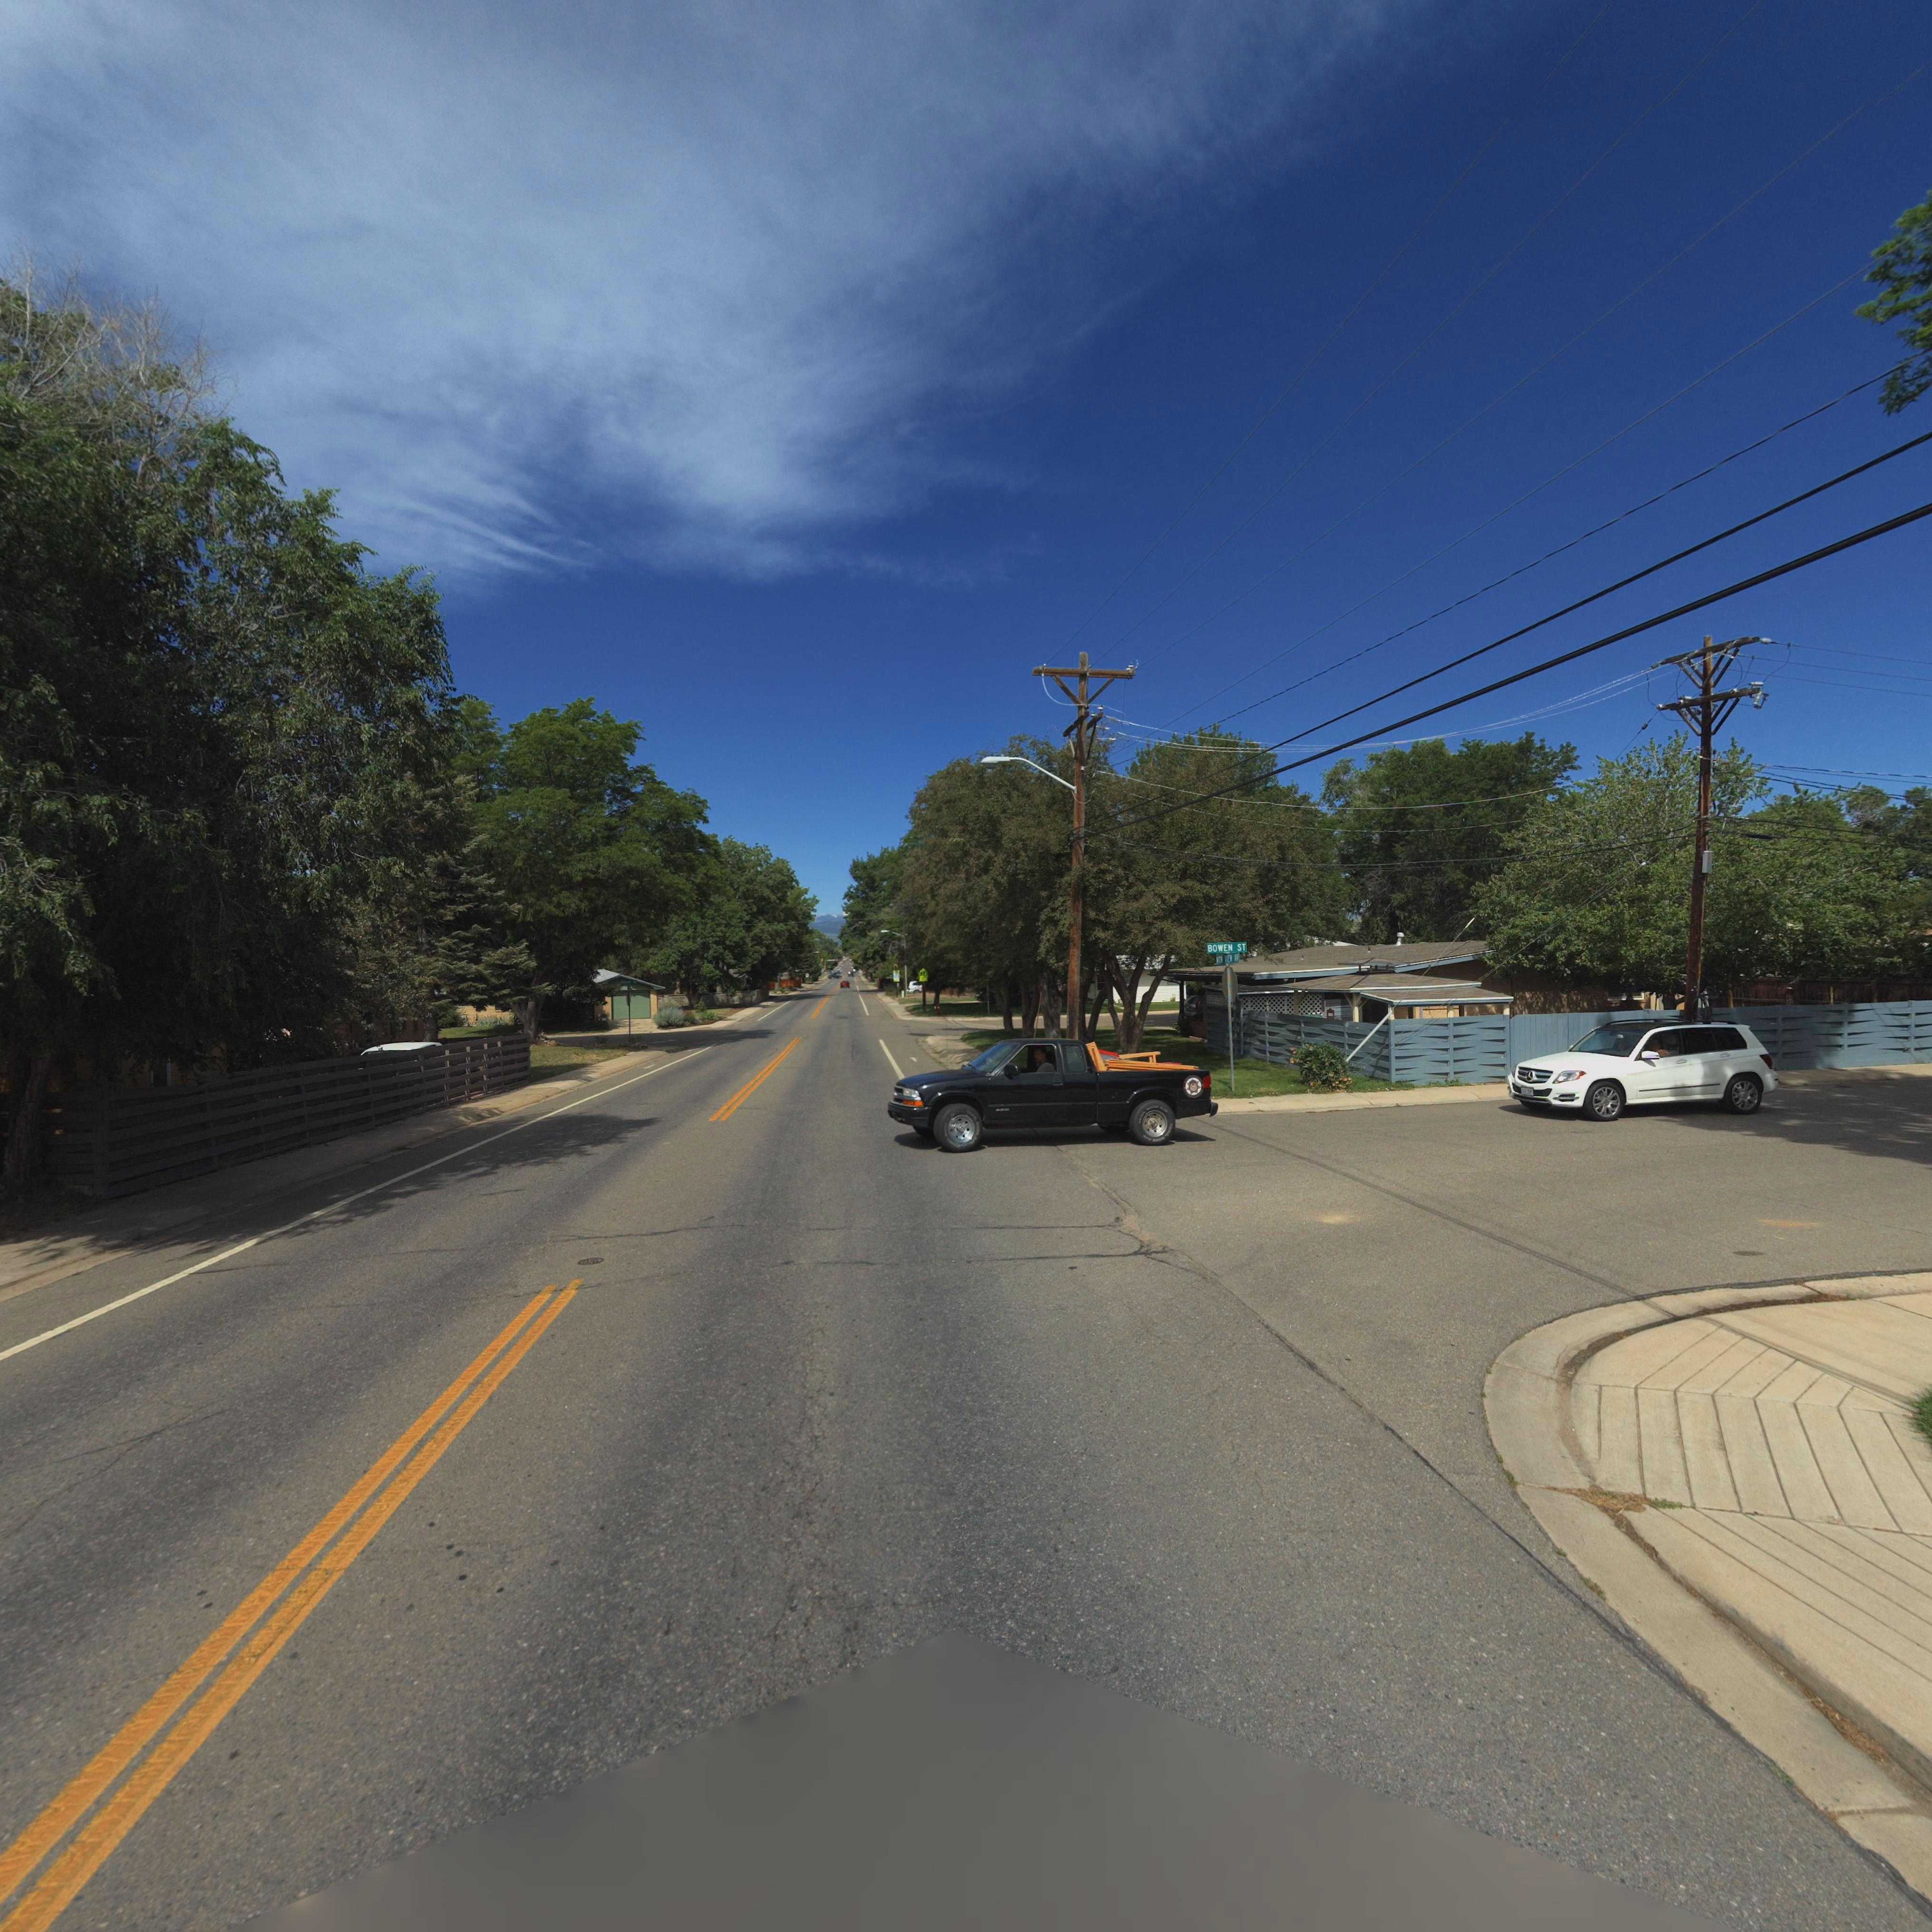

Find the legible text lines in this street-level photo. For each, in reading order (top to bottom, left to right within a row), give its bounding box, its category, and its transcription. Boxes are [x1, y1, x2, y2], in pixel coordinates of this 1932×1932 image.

[1207, 943, 1246, 952] StreetName: BOWEN ST
[1216, 953, 1239, 964] StreetName: *T* V*E* AV
[621, 979, 637, 984] StreetName: **** S*